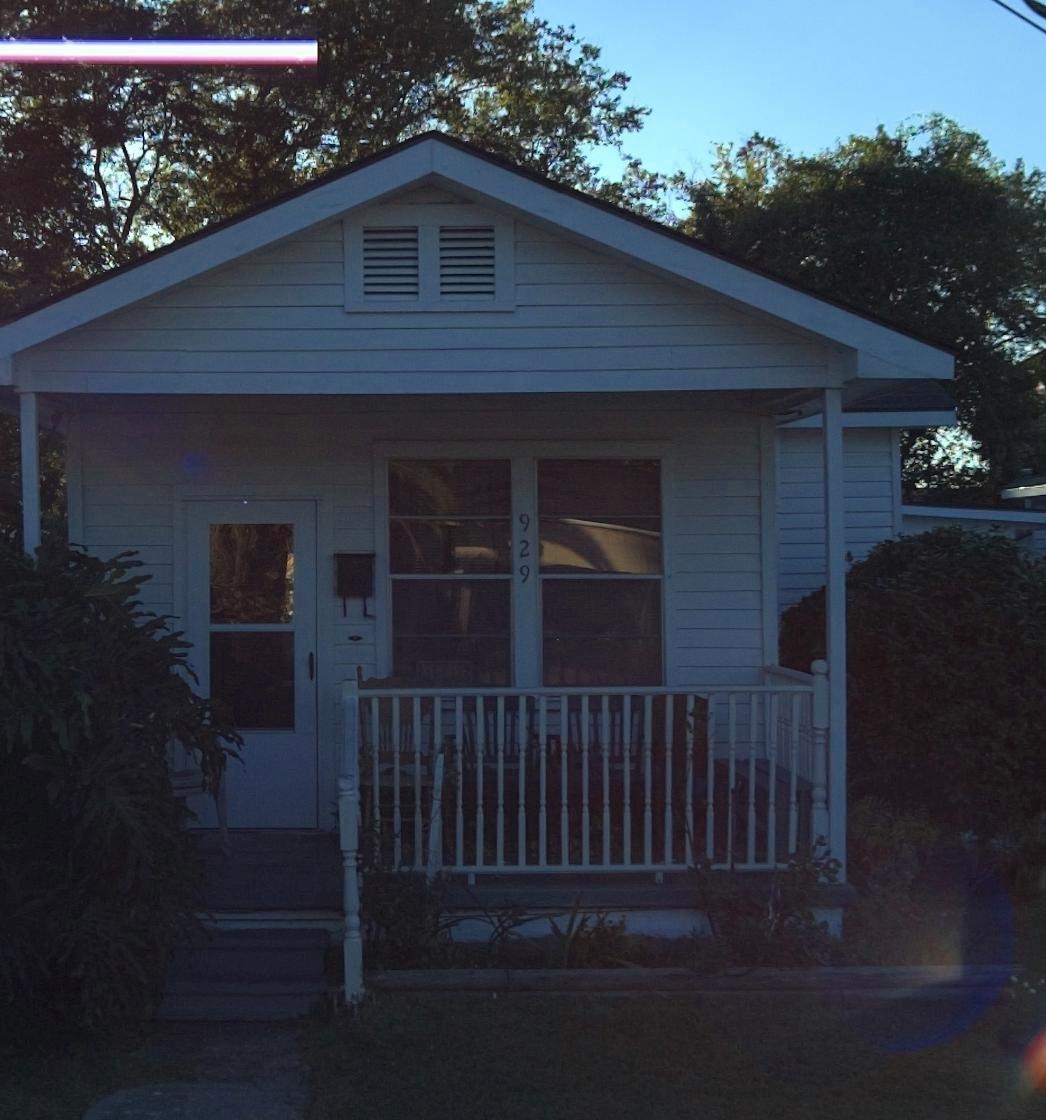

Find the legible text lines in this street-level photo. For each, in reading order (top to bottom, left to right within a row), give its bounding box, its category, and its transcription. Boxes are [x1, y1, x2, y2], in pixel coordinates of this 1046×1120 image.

[517, 510, 532, 586] StreetNumber: 929